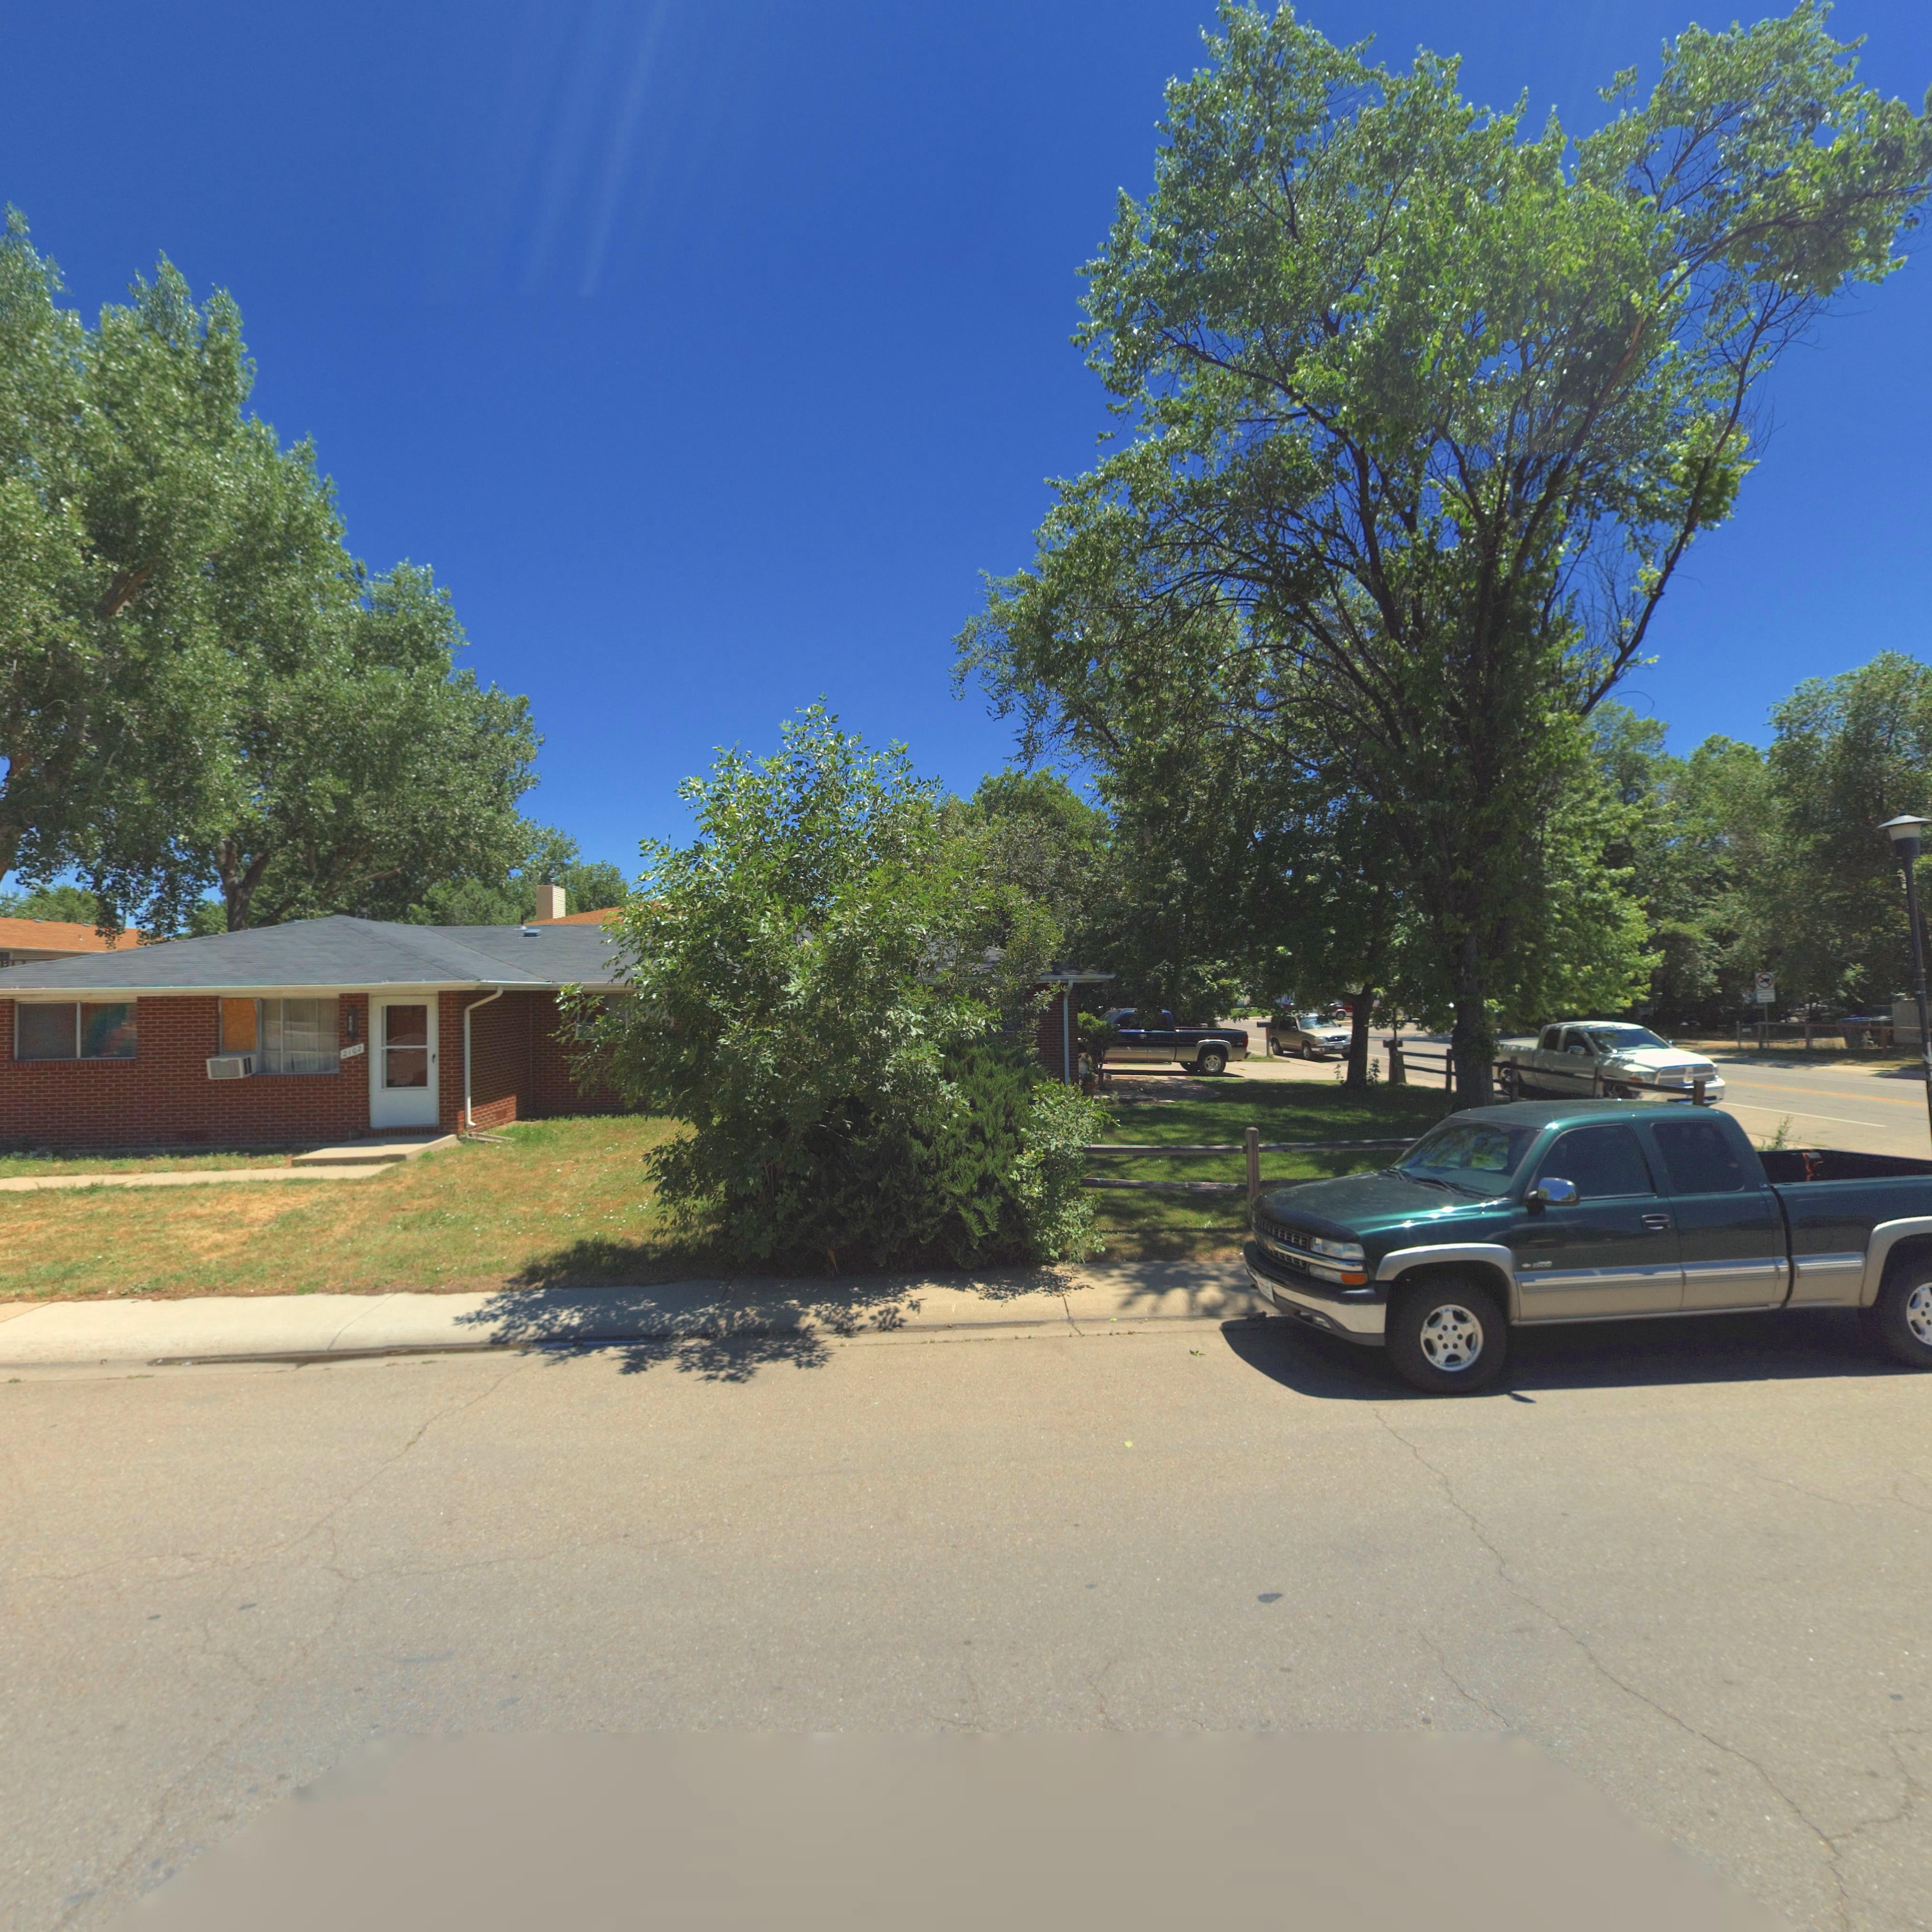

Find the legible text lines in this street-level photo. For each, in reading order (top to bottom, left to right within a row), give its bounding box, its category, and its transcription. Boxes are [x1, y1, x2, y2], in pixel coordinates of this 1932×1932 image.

[340, 1043, 363, 1059] StreetNumber: 2102